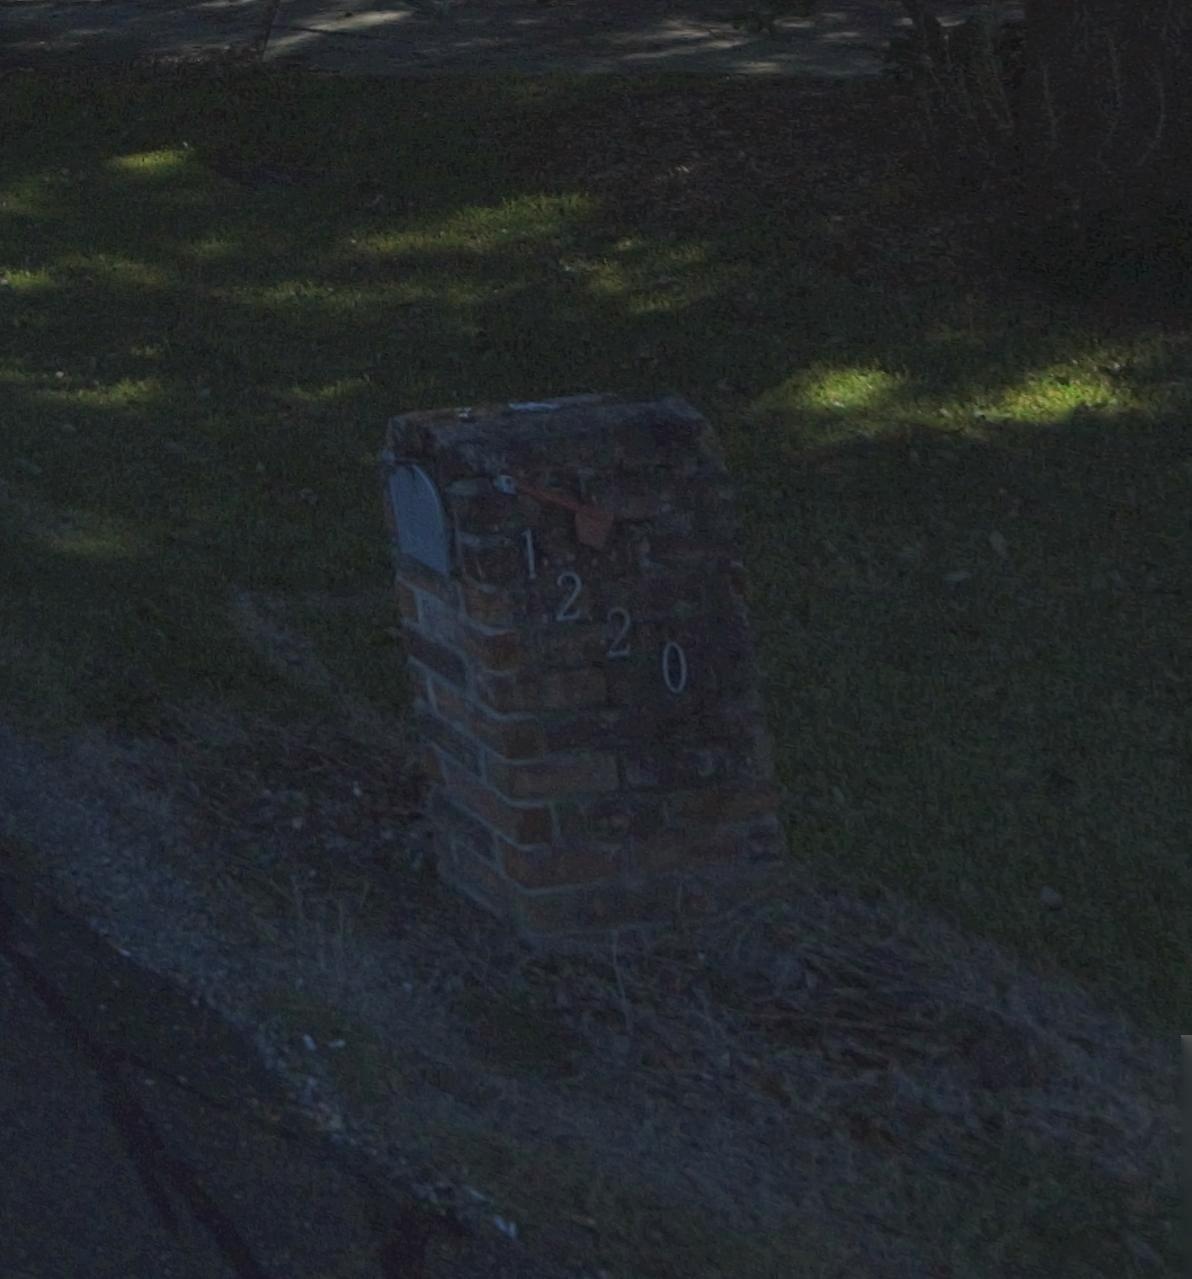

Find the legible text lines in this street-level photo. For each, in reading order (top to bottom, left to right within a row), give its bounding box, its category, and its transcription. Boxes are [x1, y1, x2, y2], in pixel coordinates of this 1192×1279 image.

[518, 523, 692, 705] StreetNumber: 1220